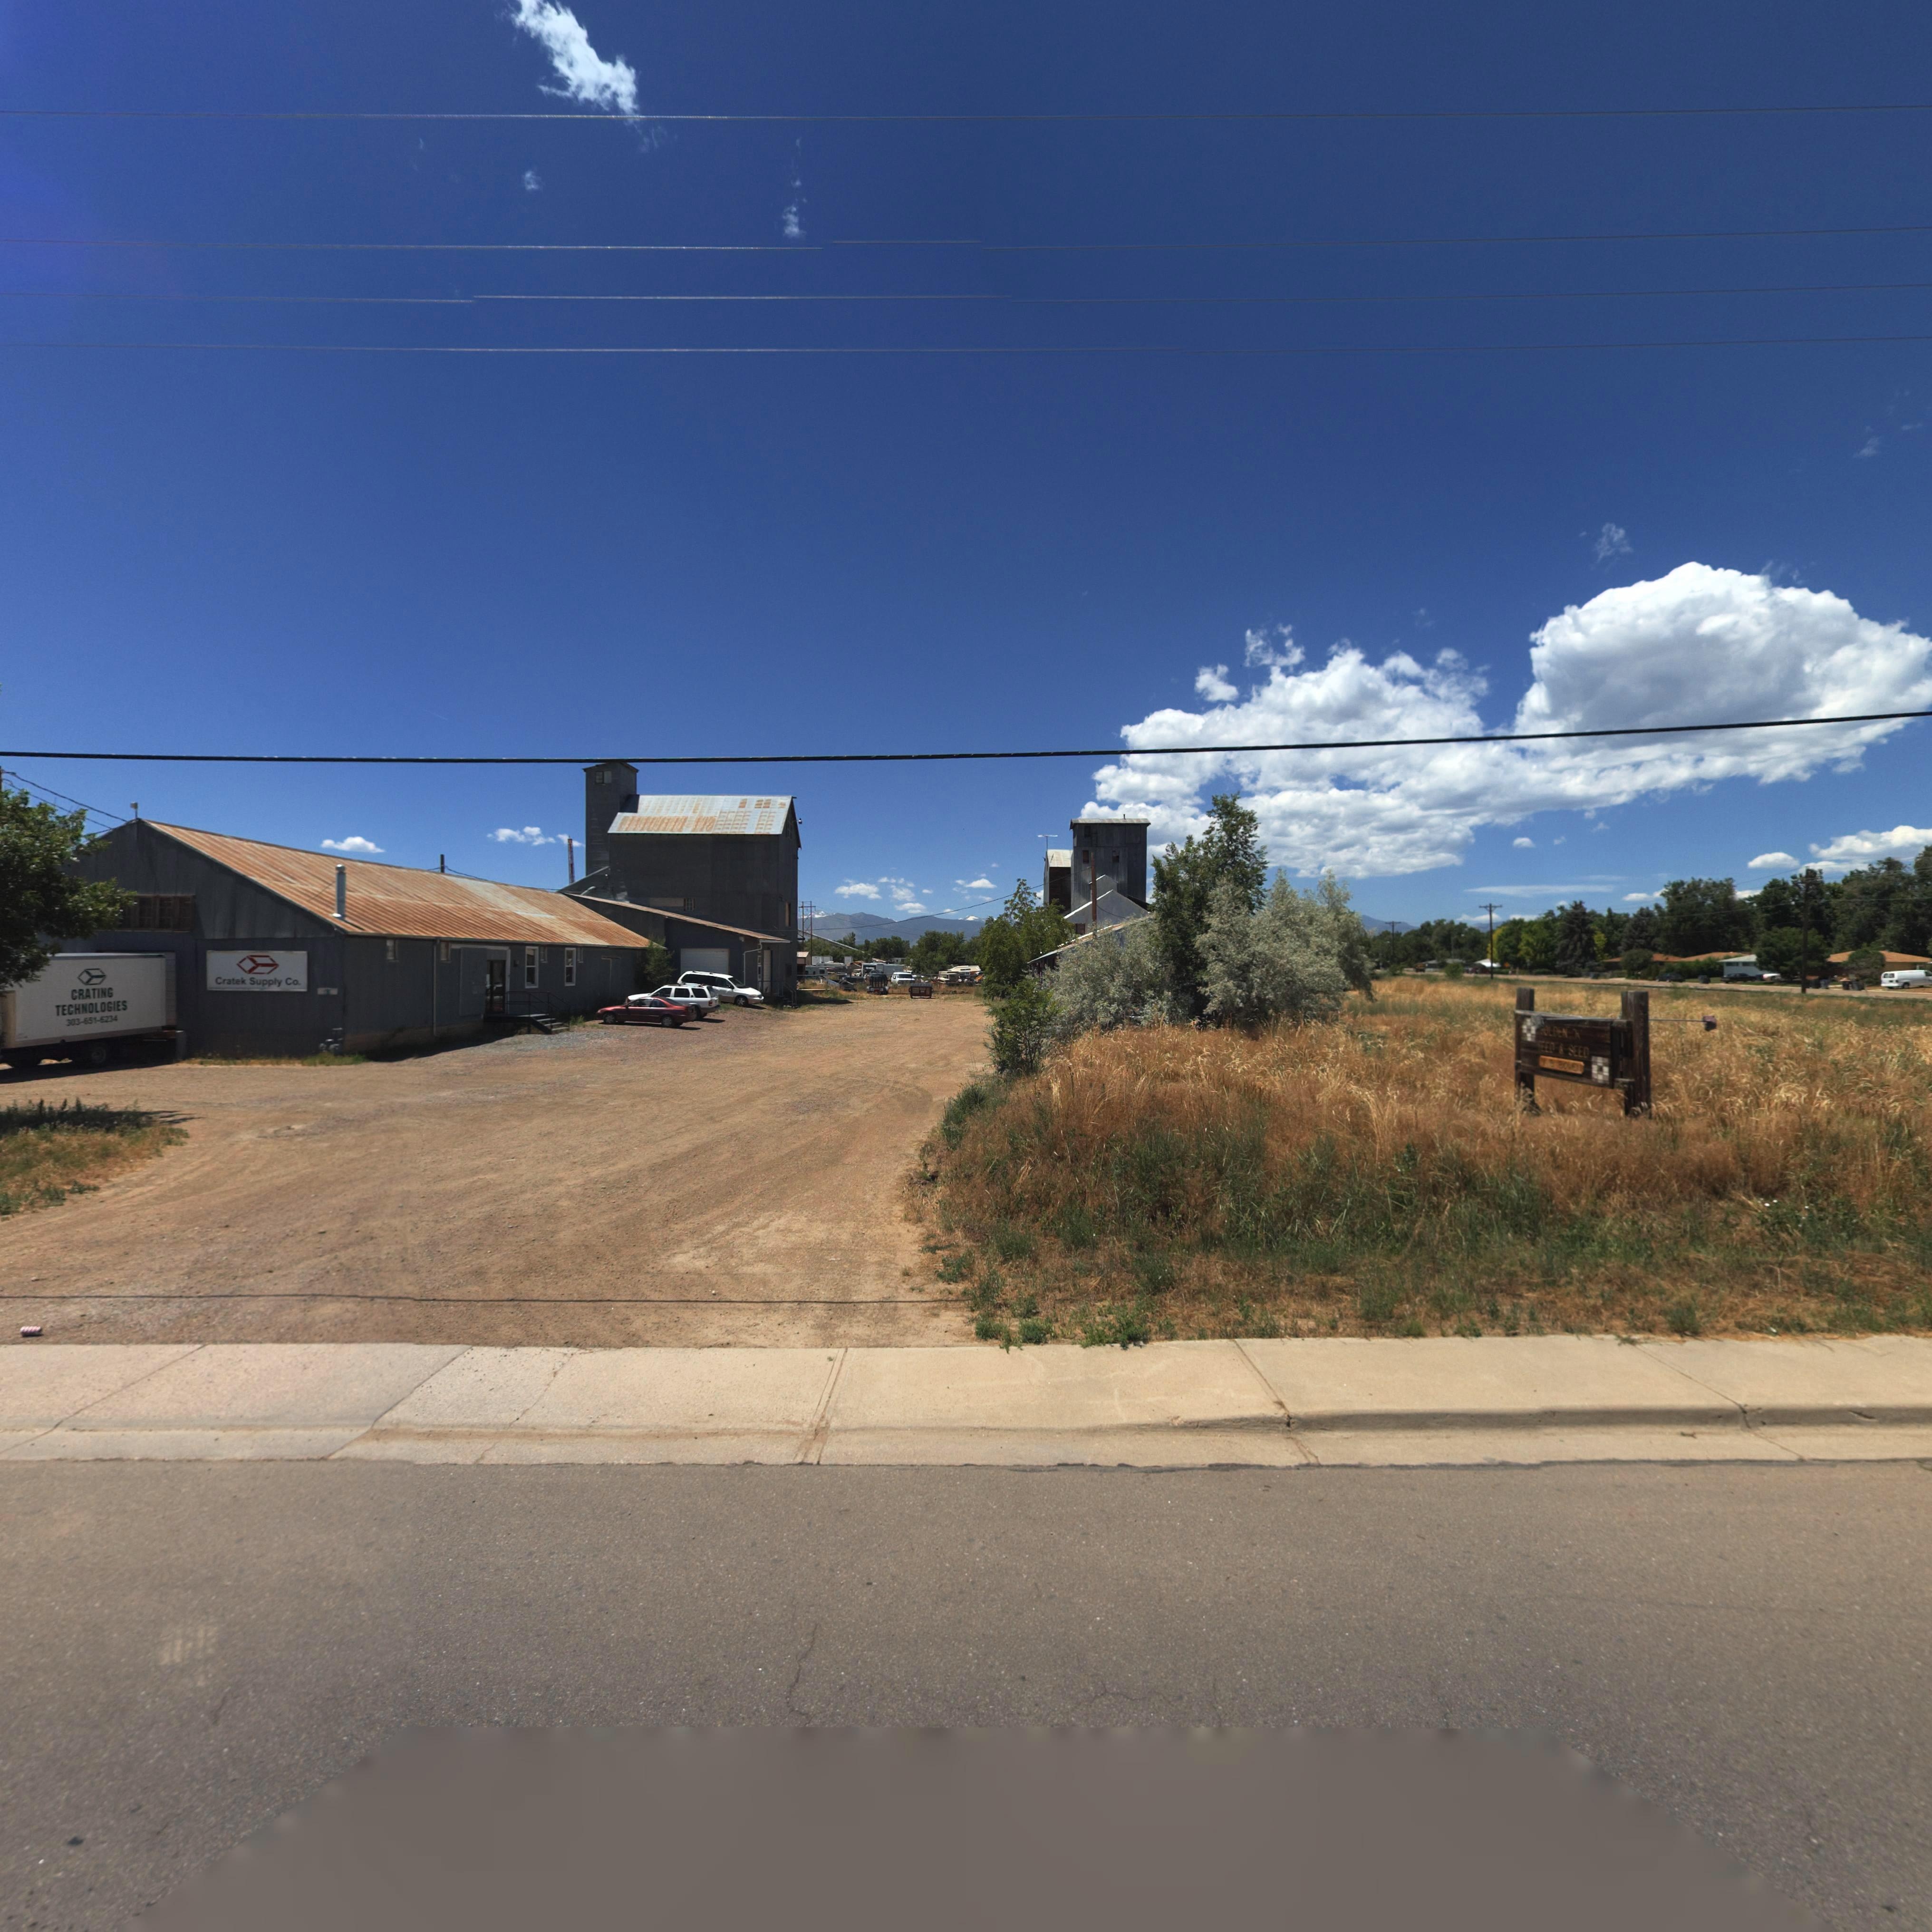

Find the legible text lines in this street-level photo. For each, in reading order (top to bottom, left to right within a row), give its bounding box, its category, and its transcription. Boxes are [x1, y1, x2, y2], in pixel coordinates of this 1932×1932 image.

[215, 976, 301, 987] BusinessName: Cratek Supply Co.
[1543, 1024, 1568, 1040] BusinessName: OLDEN
[1537, 1040, 1590, 1059] BusinessName: FEED & SEED
[1540, 1057, 1555, 1068] StreetNumber: *5
[1556, 1059, 1583, 1073] StreetName: BOWEN